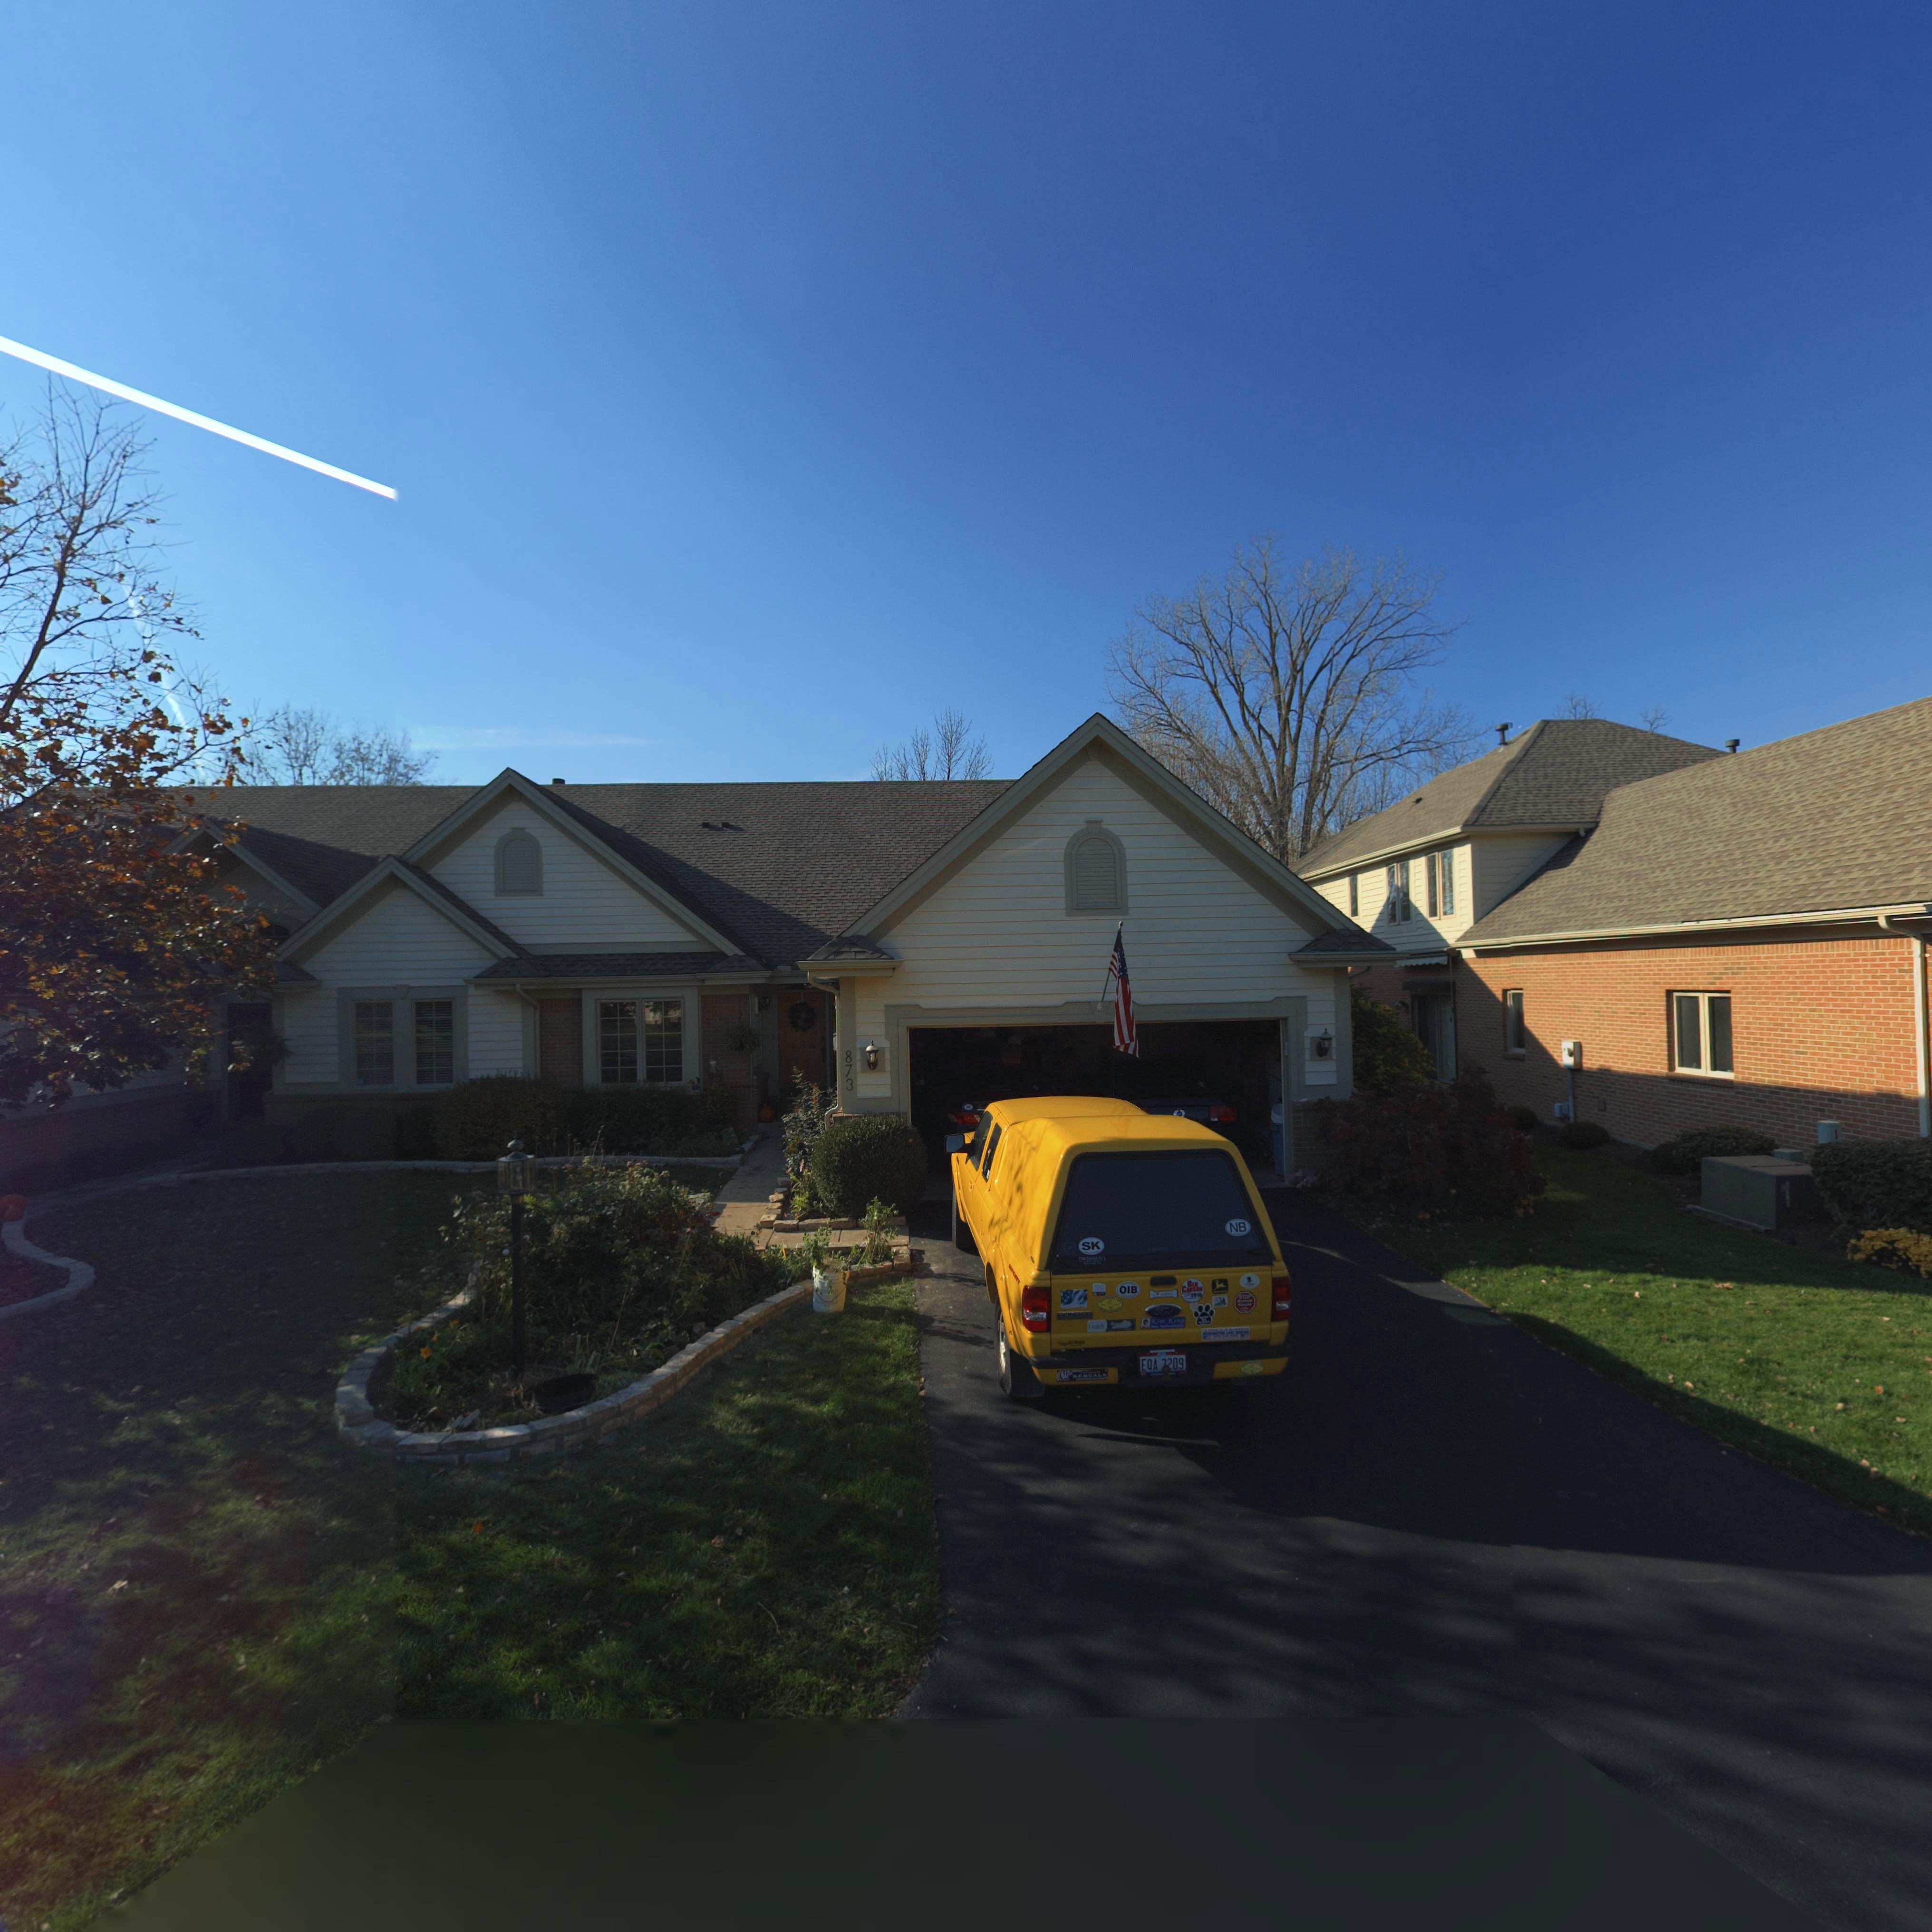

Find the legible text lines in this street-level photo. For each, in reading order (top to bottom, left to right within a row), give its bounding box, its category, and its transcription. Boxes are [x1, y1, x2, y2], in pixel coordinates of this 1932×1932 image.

[844, 1049, 855, 1093] StreetNumber: 873